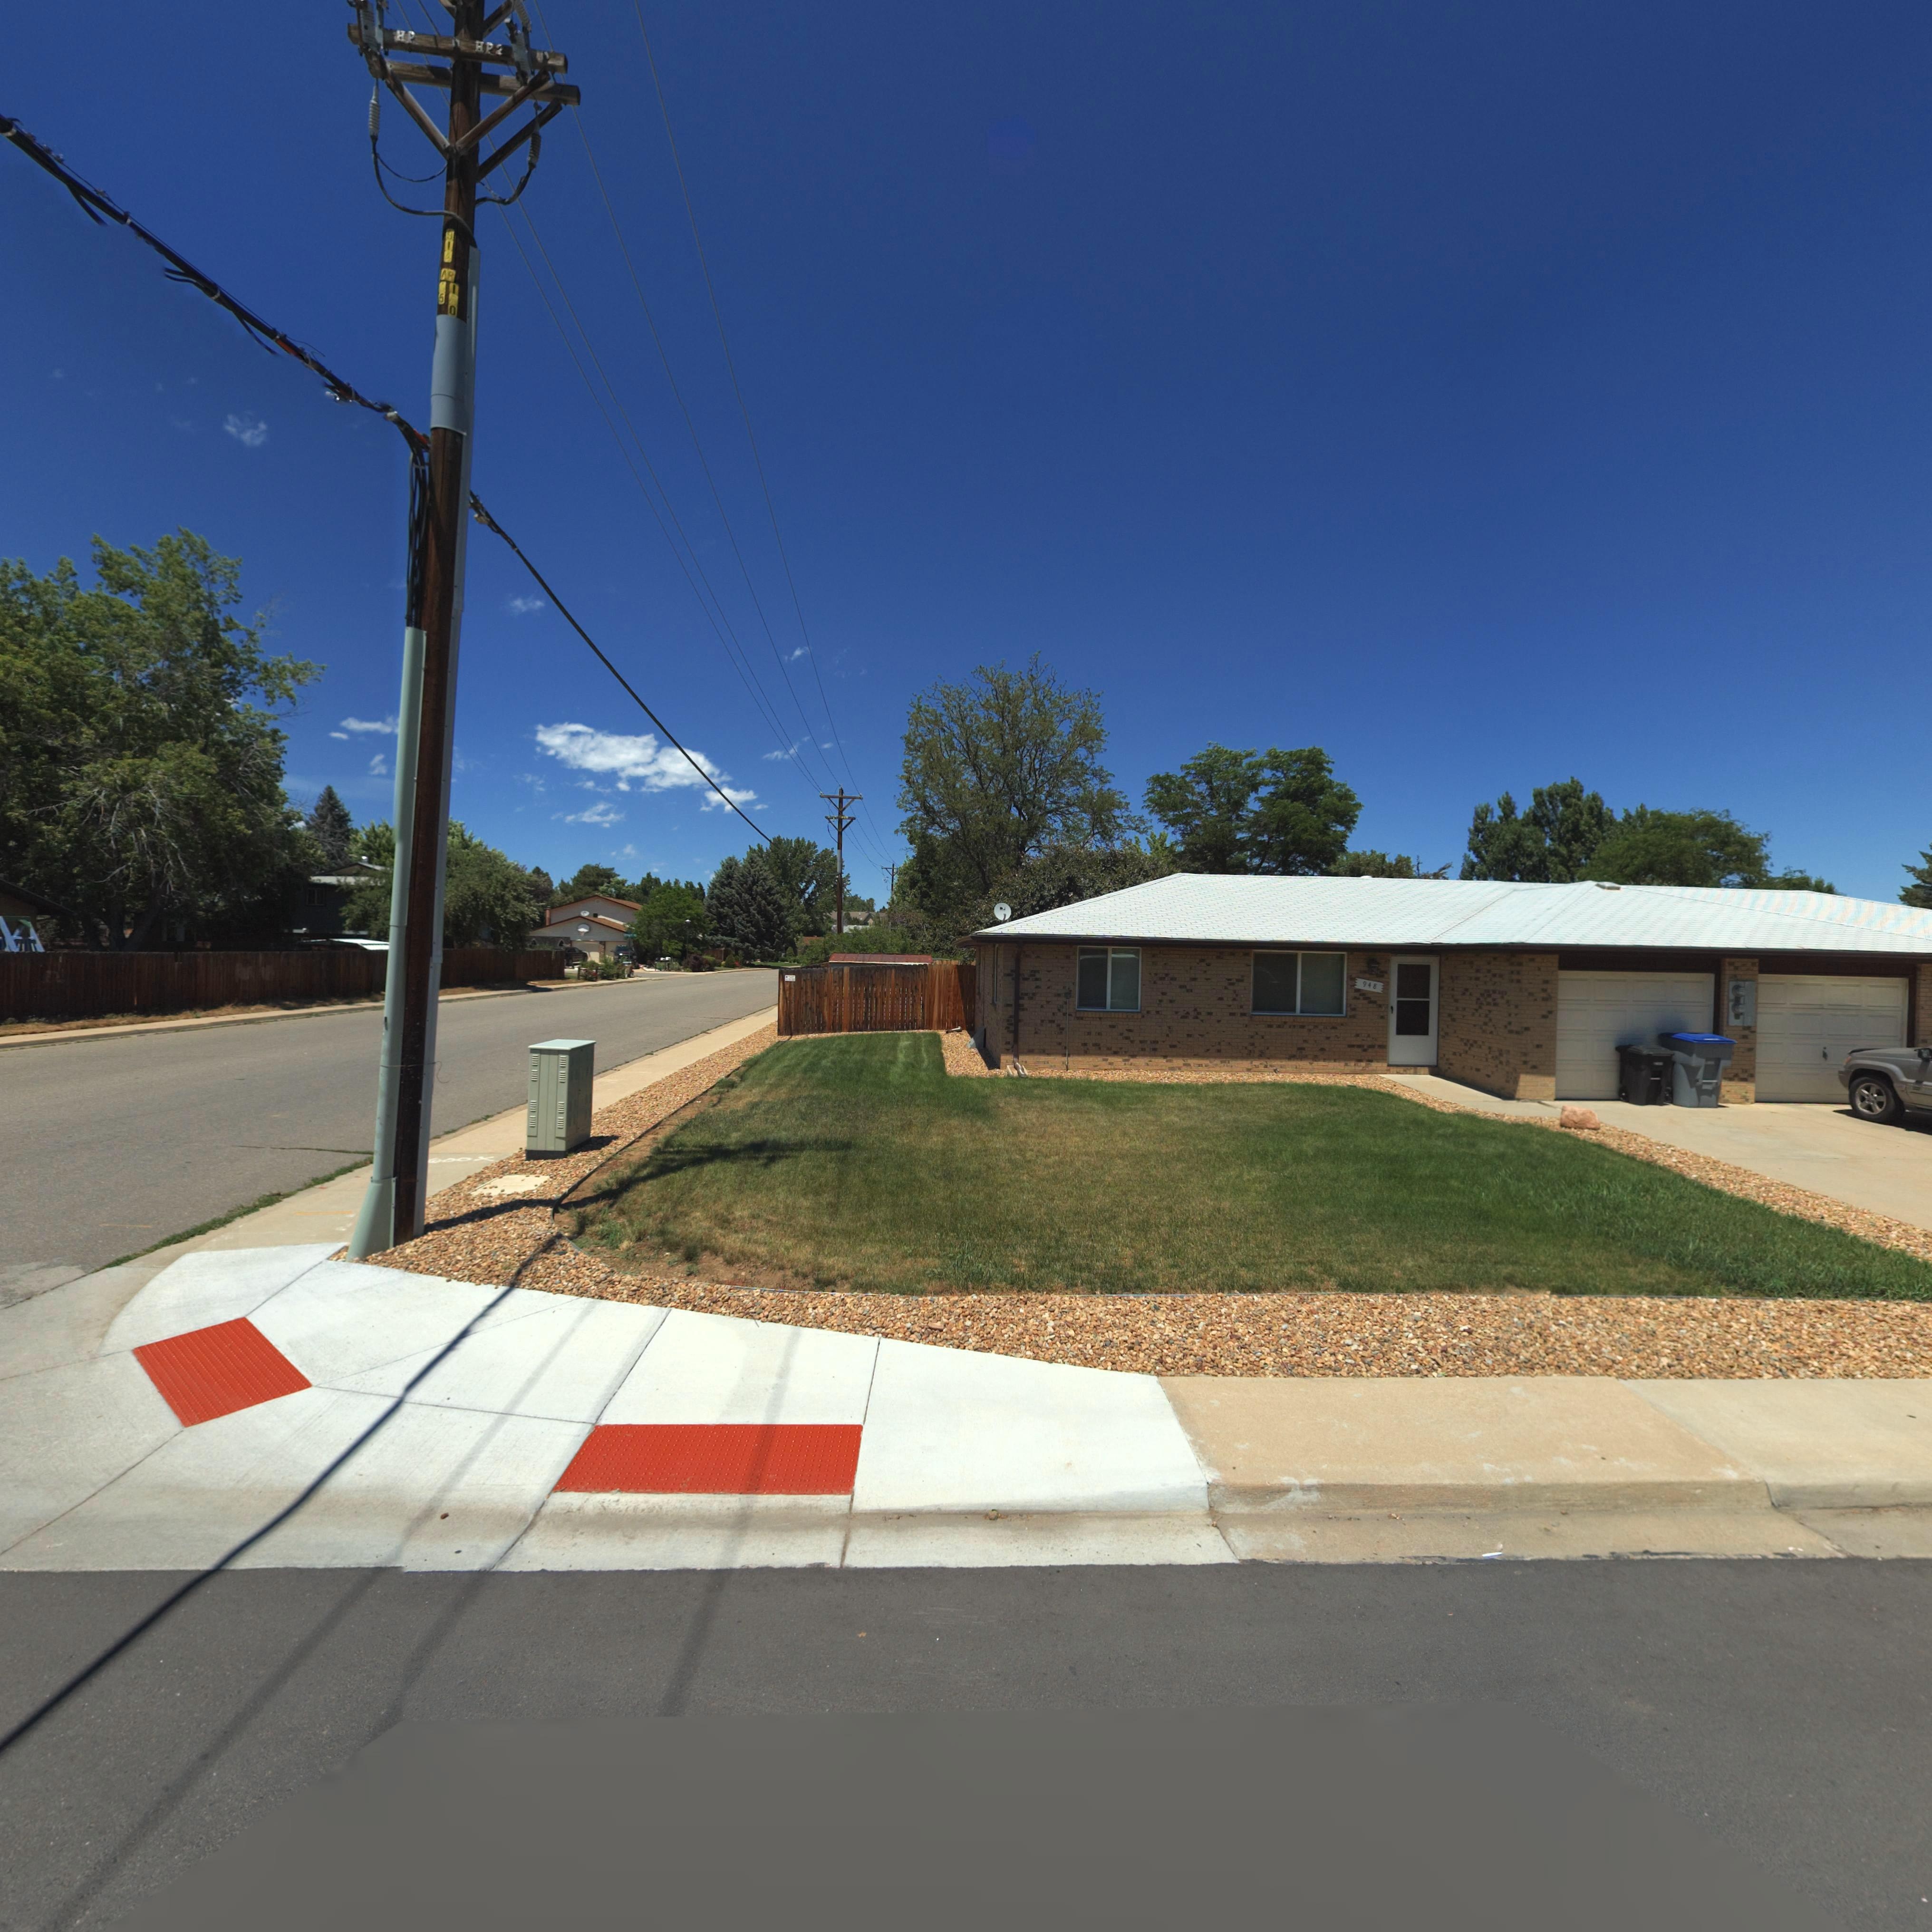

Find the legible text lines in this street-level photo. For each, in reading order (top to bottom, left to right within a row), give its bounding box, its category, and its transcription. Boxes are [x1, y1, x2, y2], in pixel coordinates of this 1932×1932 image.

[1362, 981, 1377, 989] StreetNumber: 948